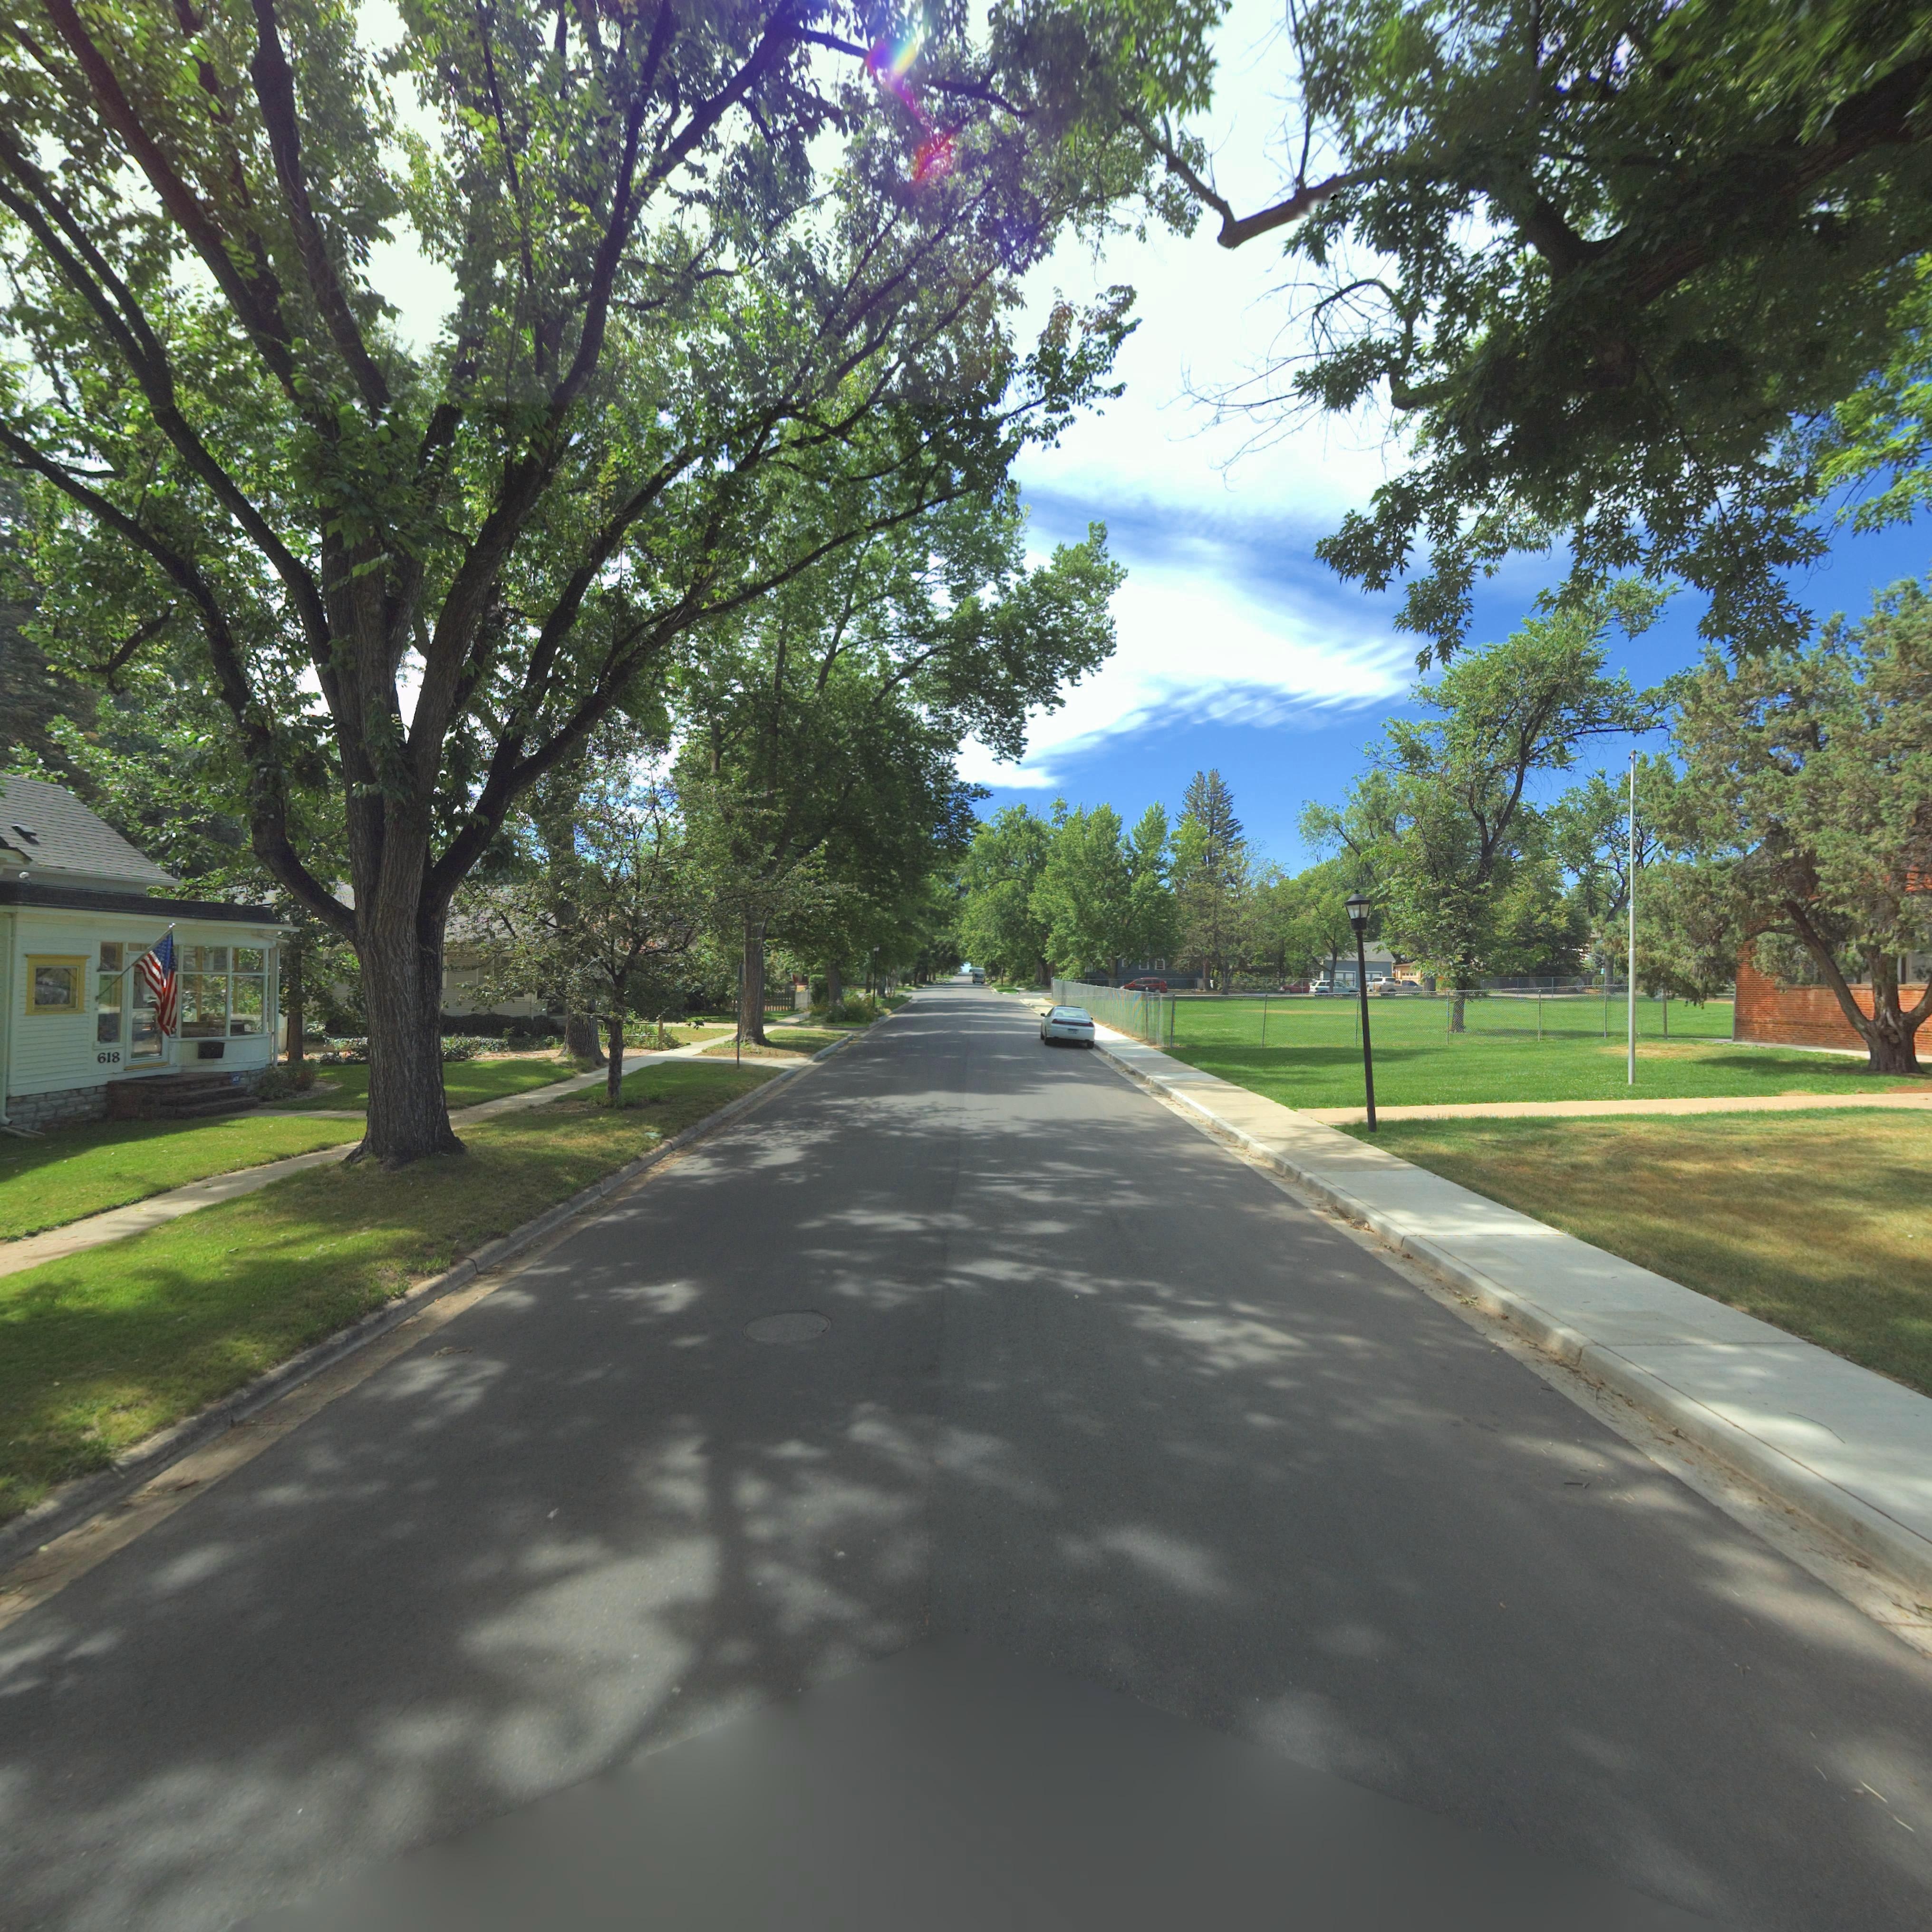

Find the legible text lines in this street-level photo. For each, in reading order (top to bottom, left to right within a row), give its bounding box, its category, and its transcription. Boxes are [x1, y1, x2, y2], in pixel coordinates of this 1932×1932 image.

[96, 1051, 122, 1064] StreetNumber: 618